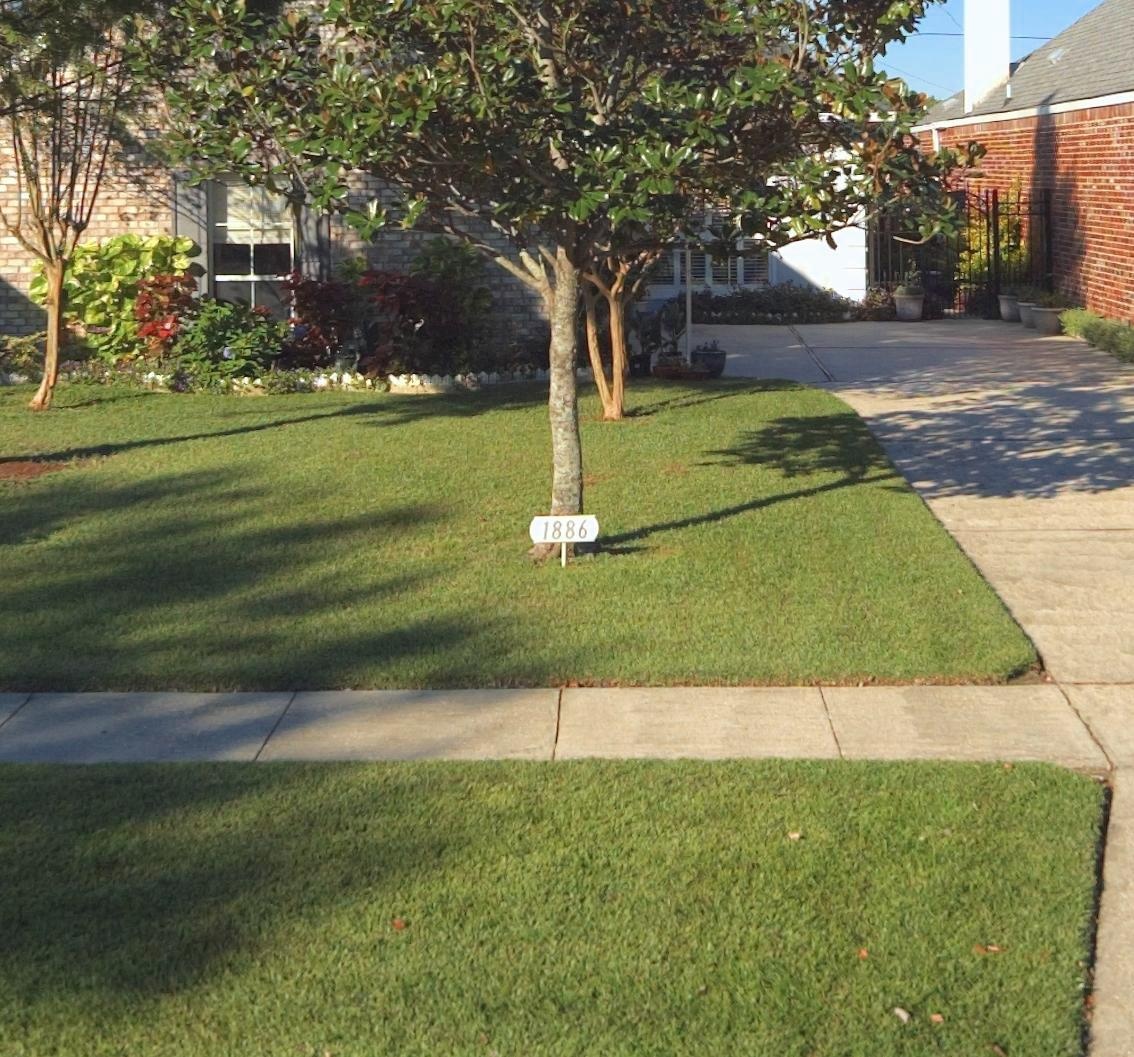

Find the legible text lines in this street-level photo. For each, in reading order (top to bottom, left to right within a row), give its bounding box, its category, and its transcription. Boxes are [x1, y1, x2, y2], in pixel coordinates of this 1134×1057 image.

[540, 517, 590, 542] StreetNumber: 1886